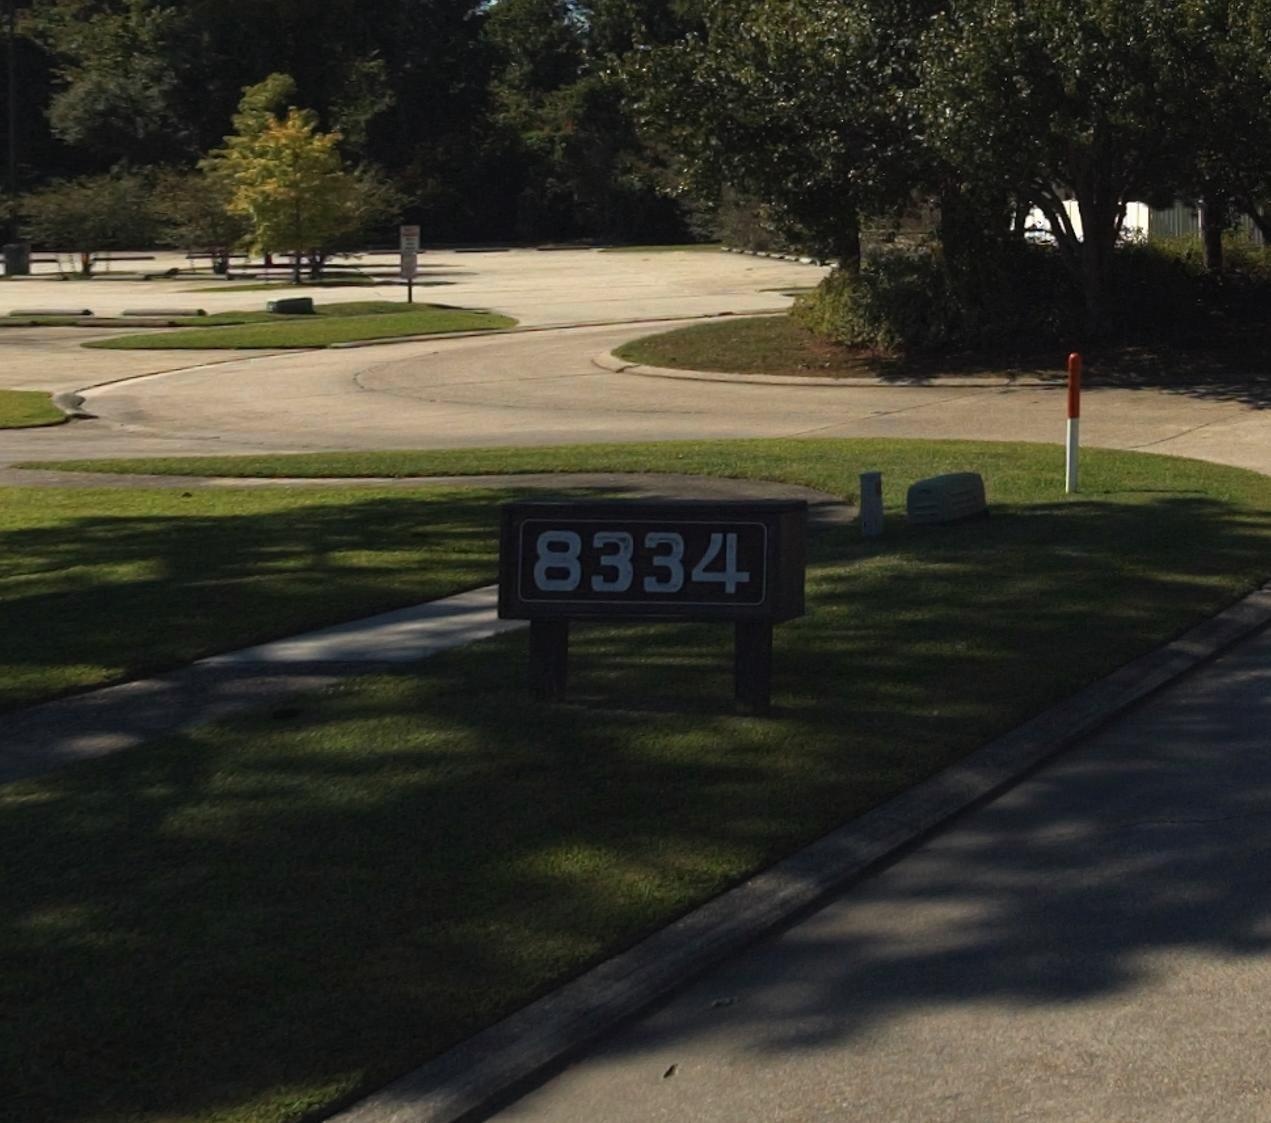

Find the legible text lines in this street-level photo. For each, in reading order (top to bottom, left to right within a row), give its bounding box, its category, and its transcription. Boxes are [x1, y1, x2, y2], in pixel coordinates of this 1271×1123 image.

[529, 523, 758, 600] StreetNumber: 8334